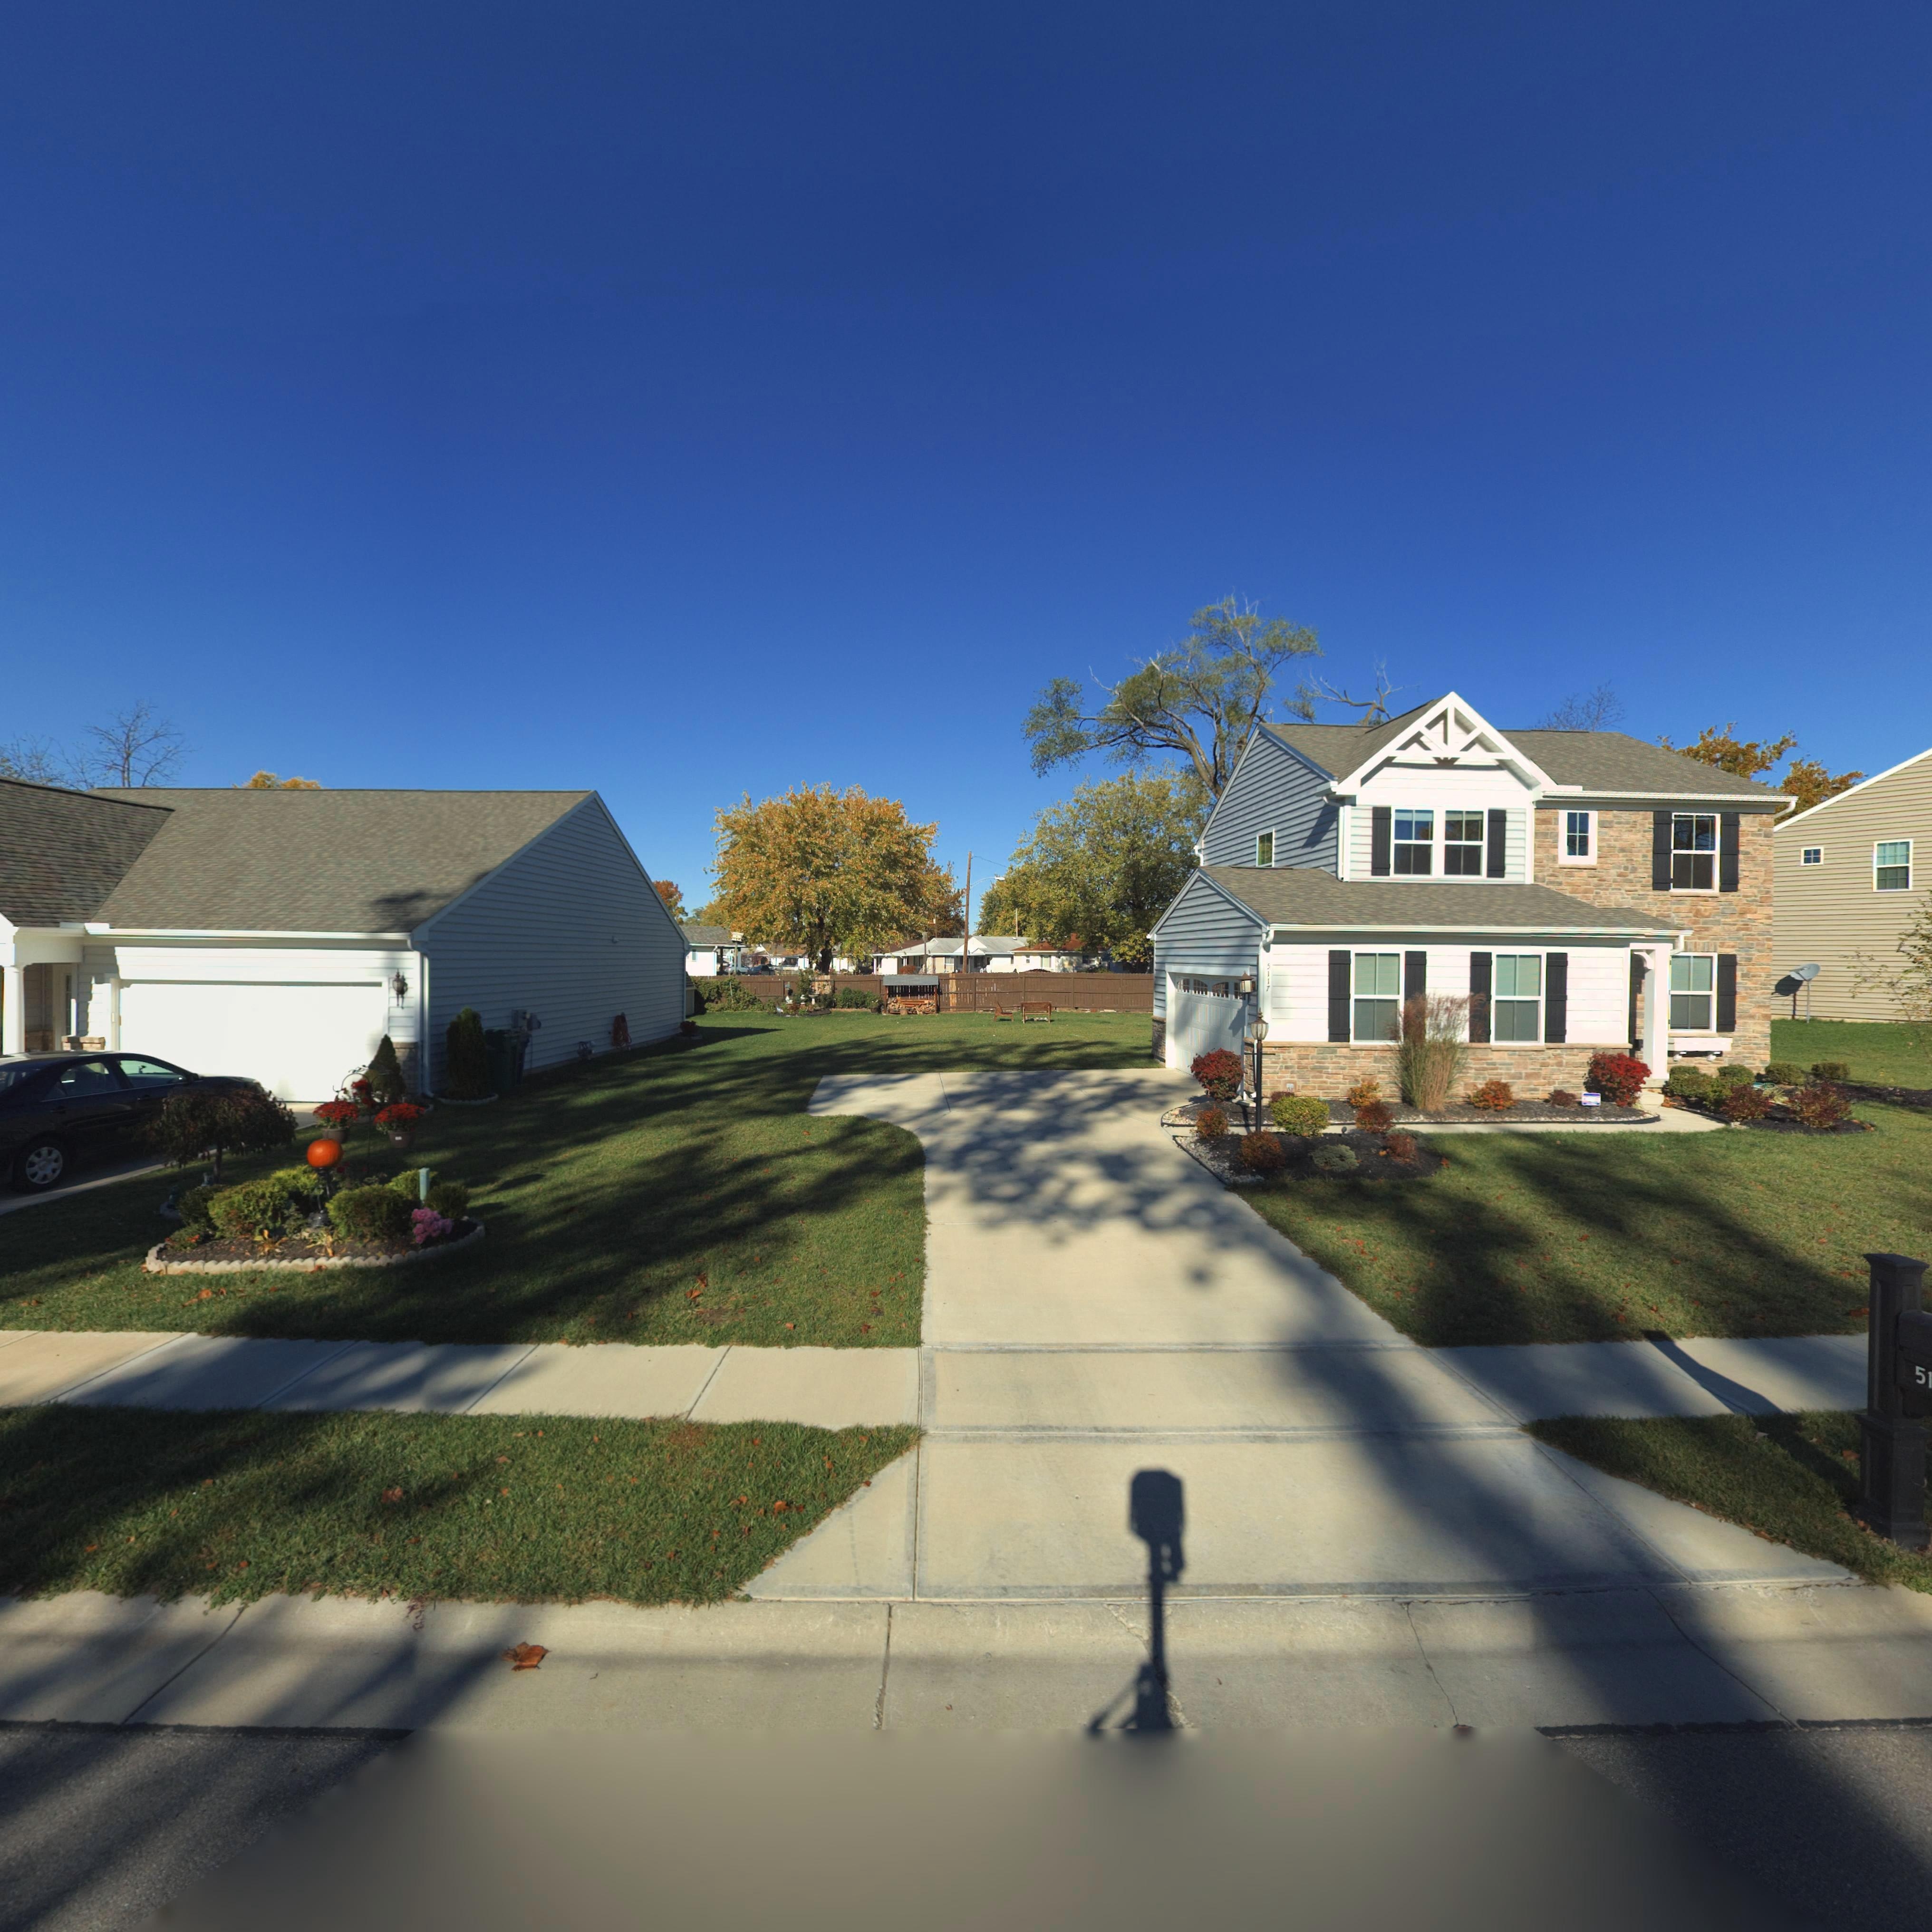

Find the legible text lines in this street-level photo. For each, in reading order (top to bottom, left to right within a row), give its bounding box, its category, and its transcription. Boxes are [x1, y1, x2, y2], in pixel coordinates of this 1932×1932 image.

[1265, 962, 1271, 993] StreetNumber: 5117
[1915, 1364, 1932, 1390] StreetNumber: 51